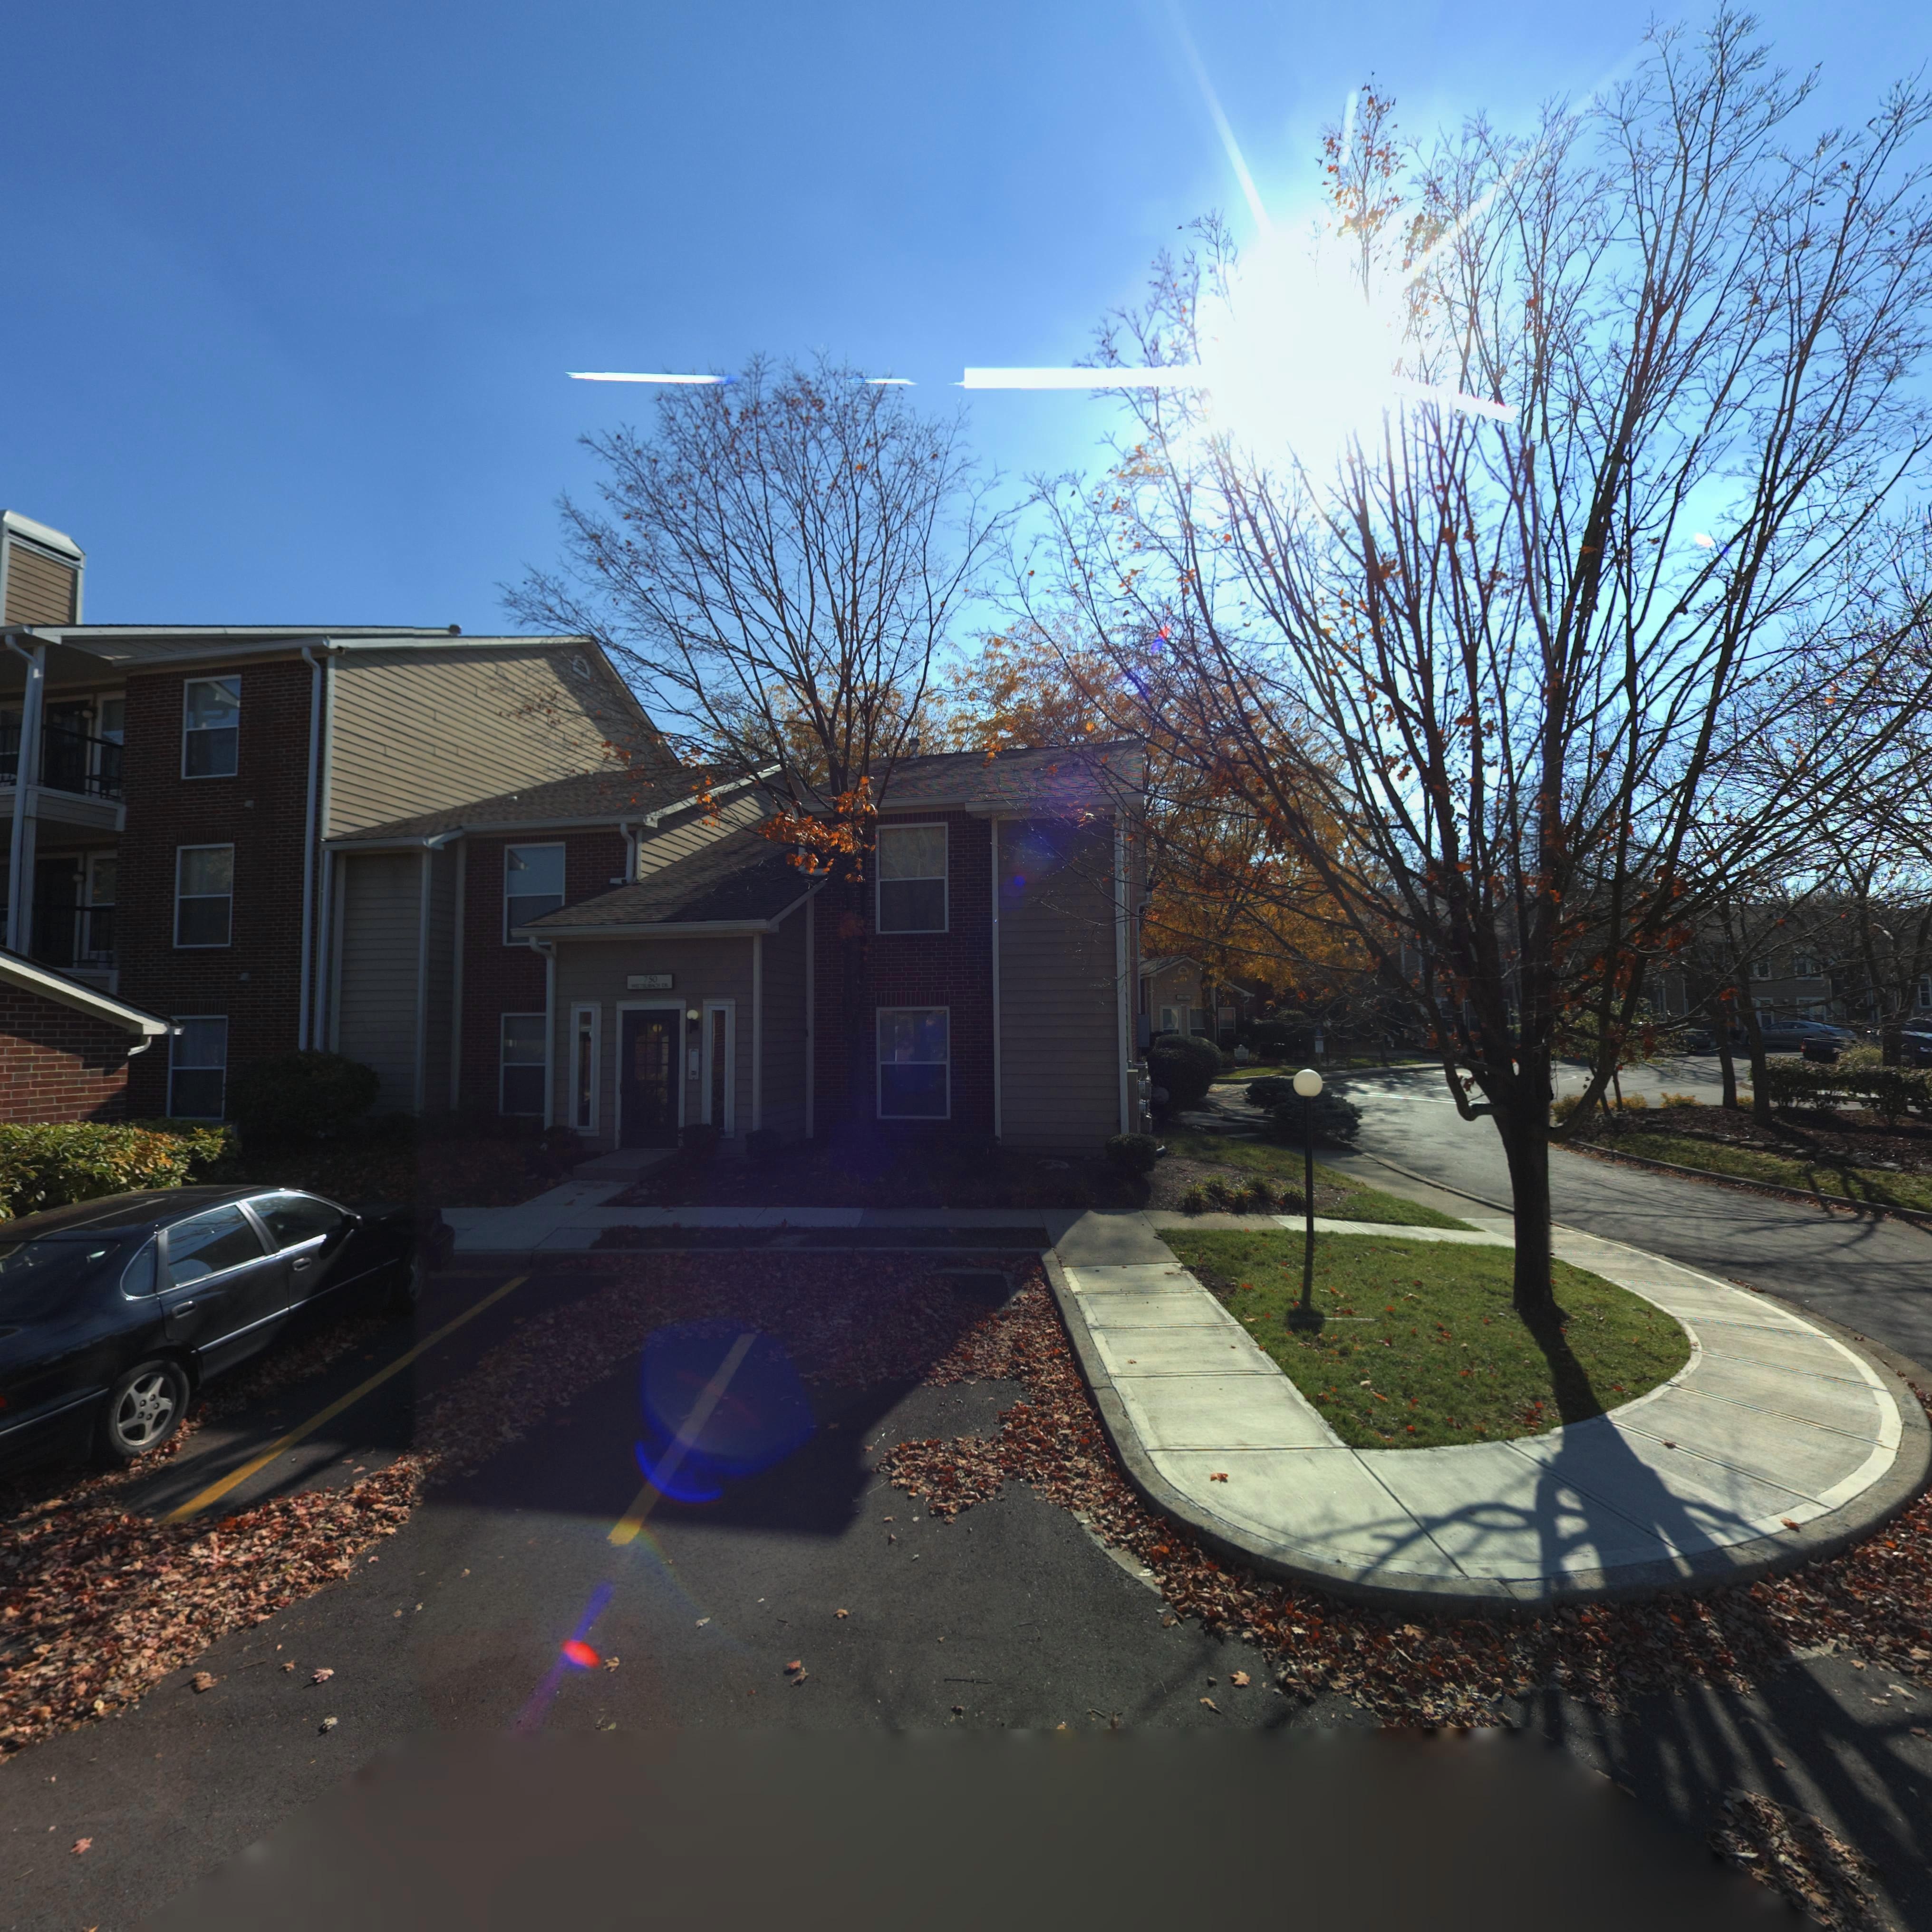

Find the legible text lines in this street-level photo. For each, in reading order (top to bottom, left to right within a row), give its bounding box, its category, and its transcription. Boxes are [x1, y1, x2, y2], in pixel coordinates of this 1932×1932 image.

[643, 975, 658, 984] StreetNumber: 750